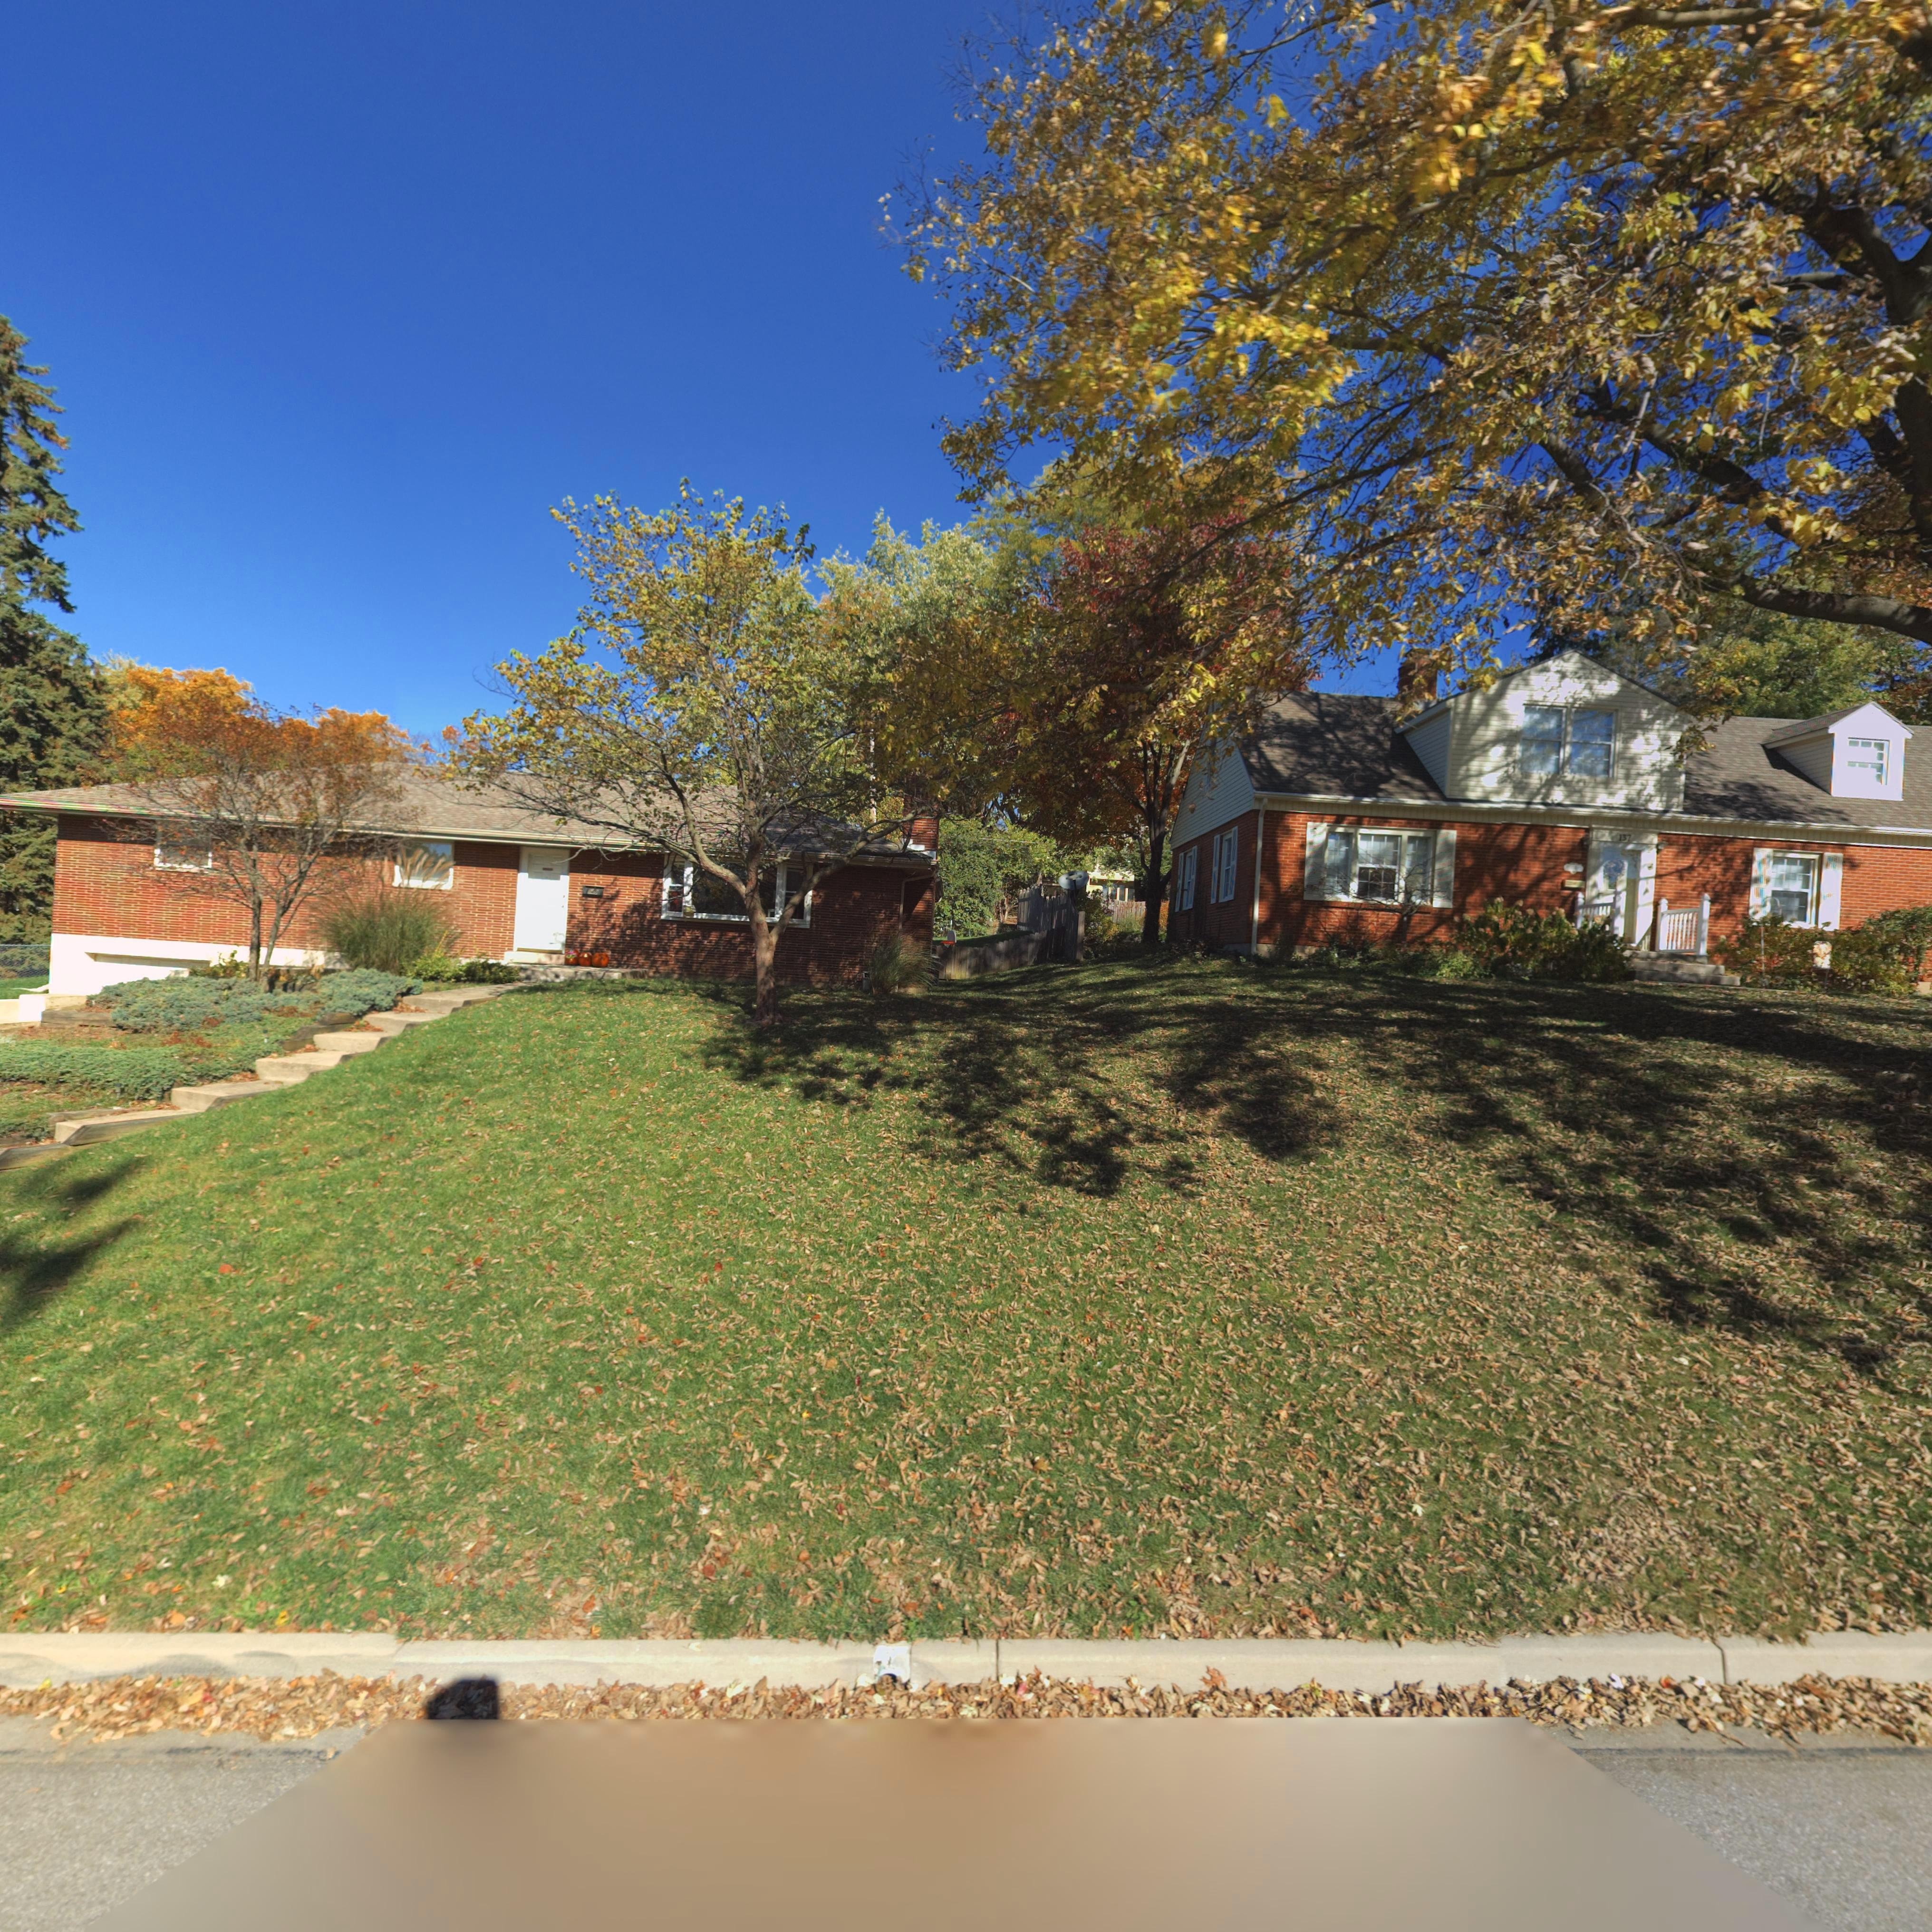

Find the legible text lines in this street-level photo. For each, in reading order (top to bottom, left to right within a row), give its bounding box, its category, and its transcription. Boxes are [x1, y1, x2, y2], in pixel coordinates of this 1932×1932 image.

[1618, 834, 1632, 842] StreetNumber: 137
[586, 889, 599, 895] StreetNumber: 1*9